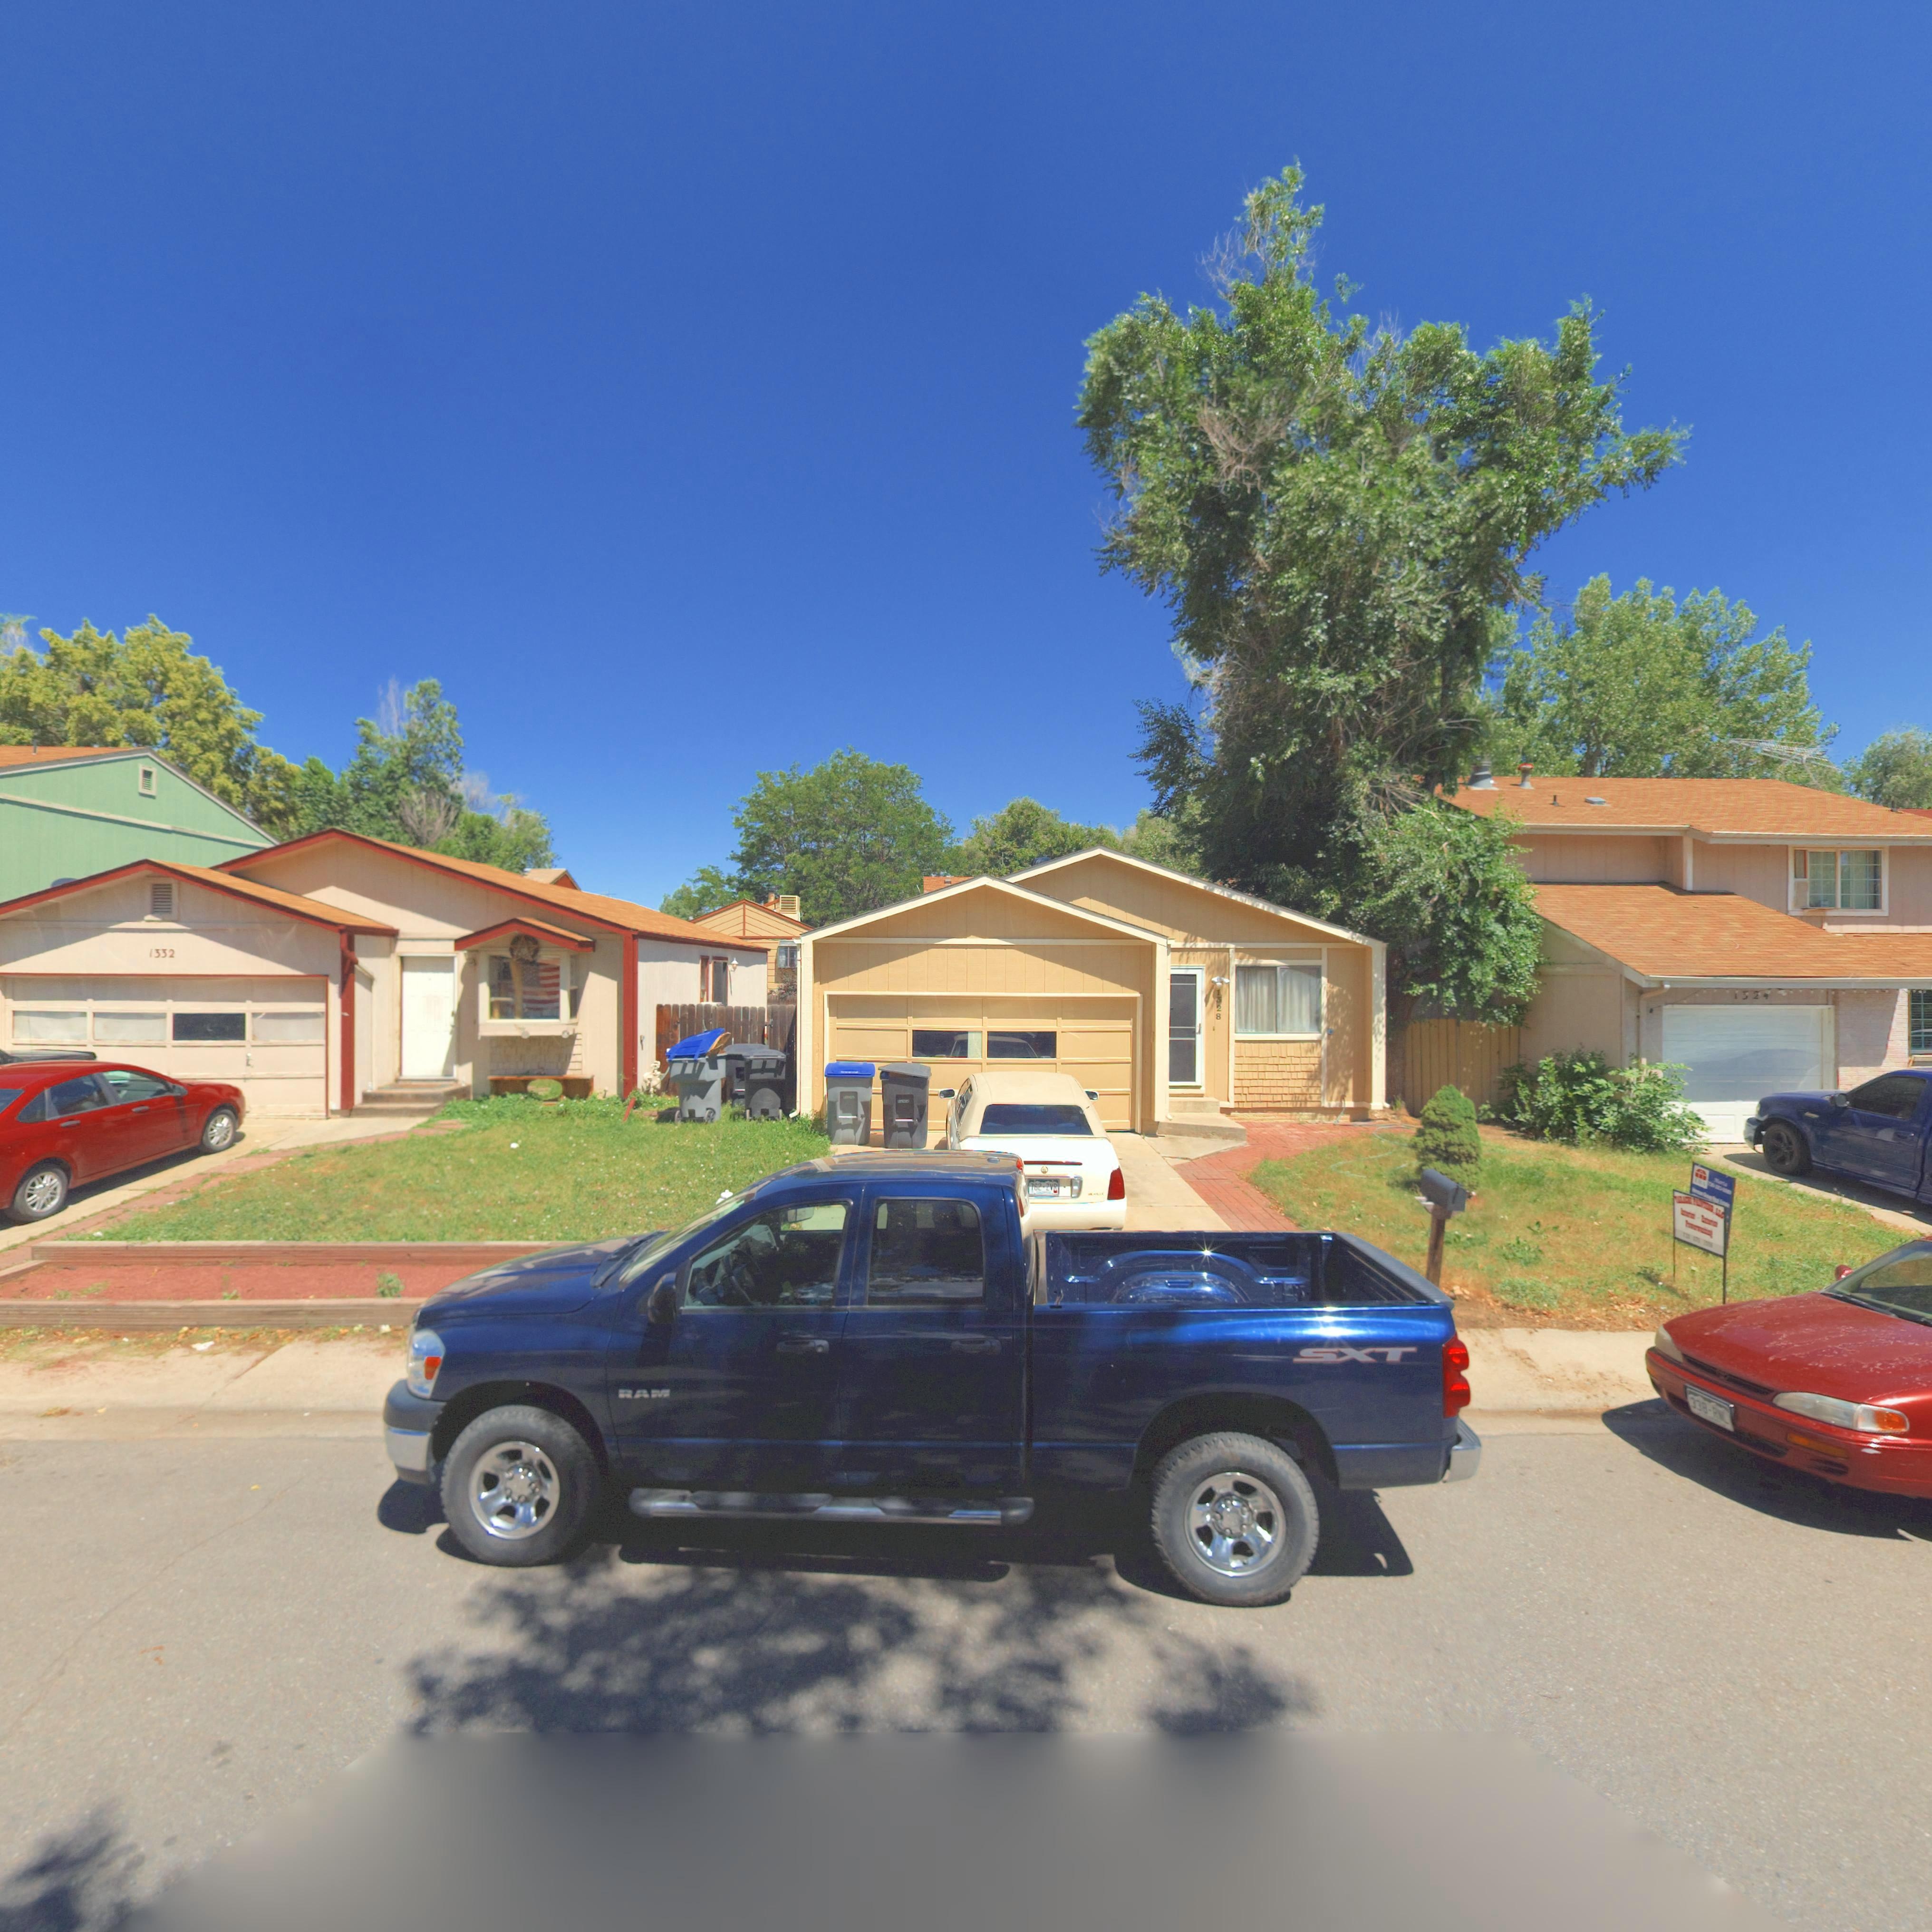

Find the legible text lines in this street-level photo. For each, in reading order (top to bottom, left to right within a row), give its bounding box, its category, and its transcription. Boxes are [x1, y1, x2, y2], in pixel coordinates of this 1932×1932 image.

[148, 947, 175, 958] StreetNumber: 1332
[1734, 990, 1769, 1000] StreetNumber: 132*
[1216, 989, 1221, 1020] StreetNumber: 1328